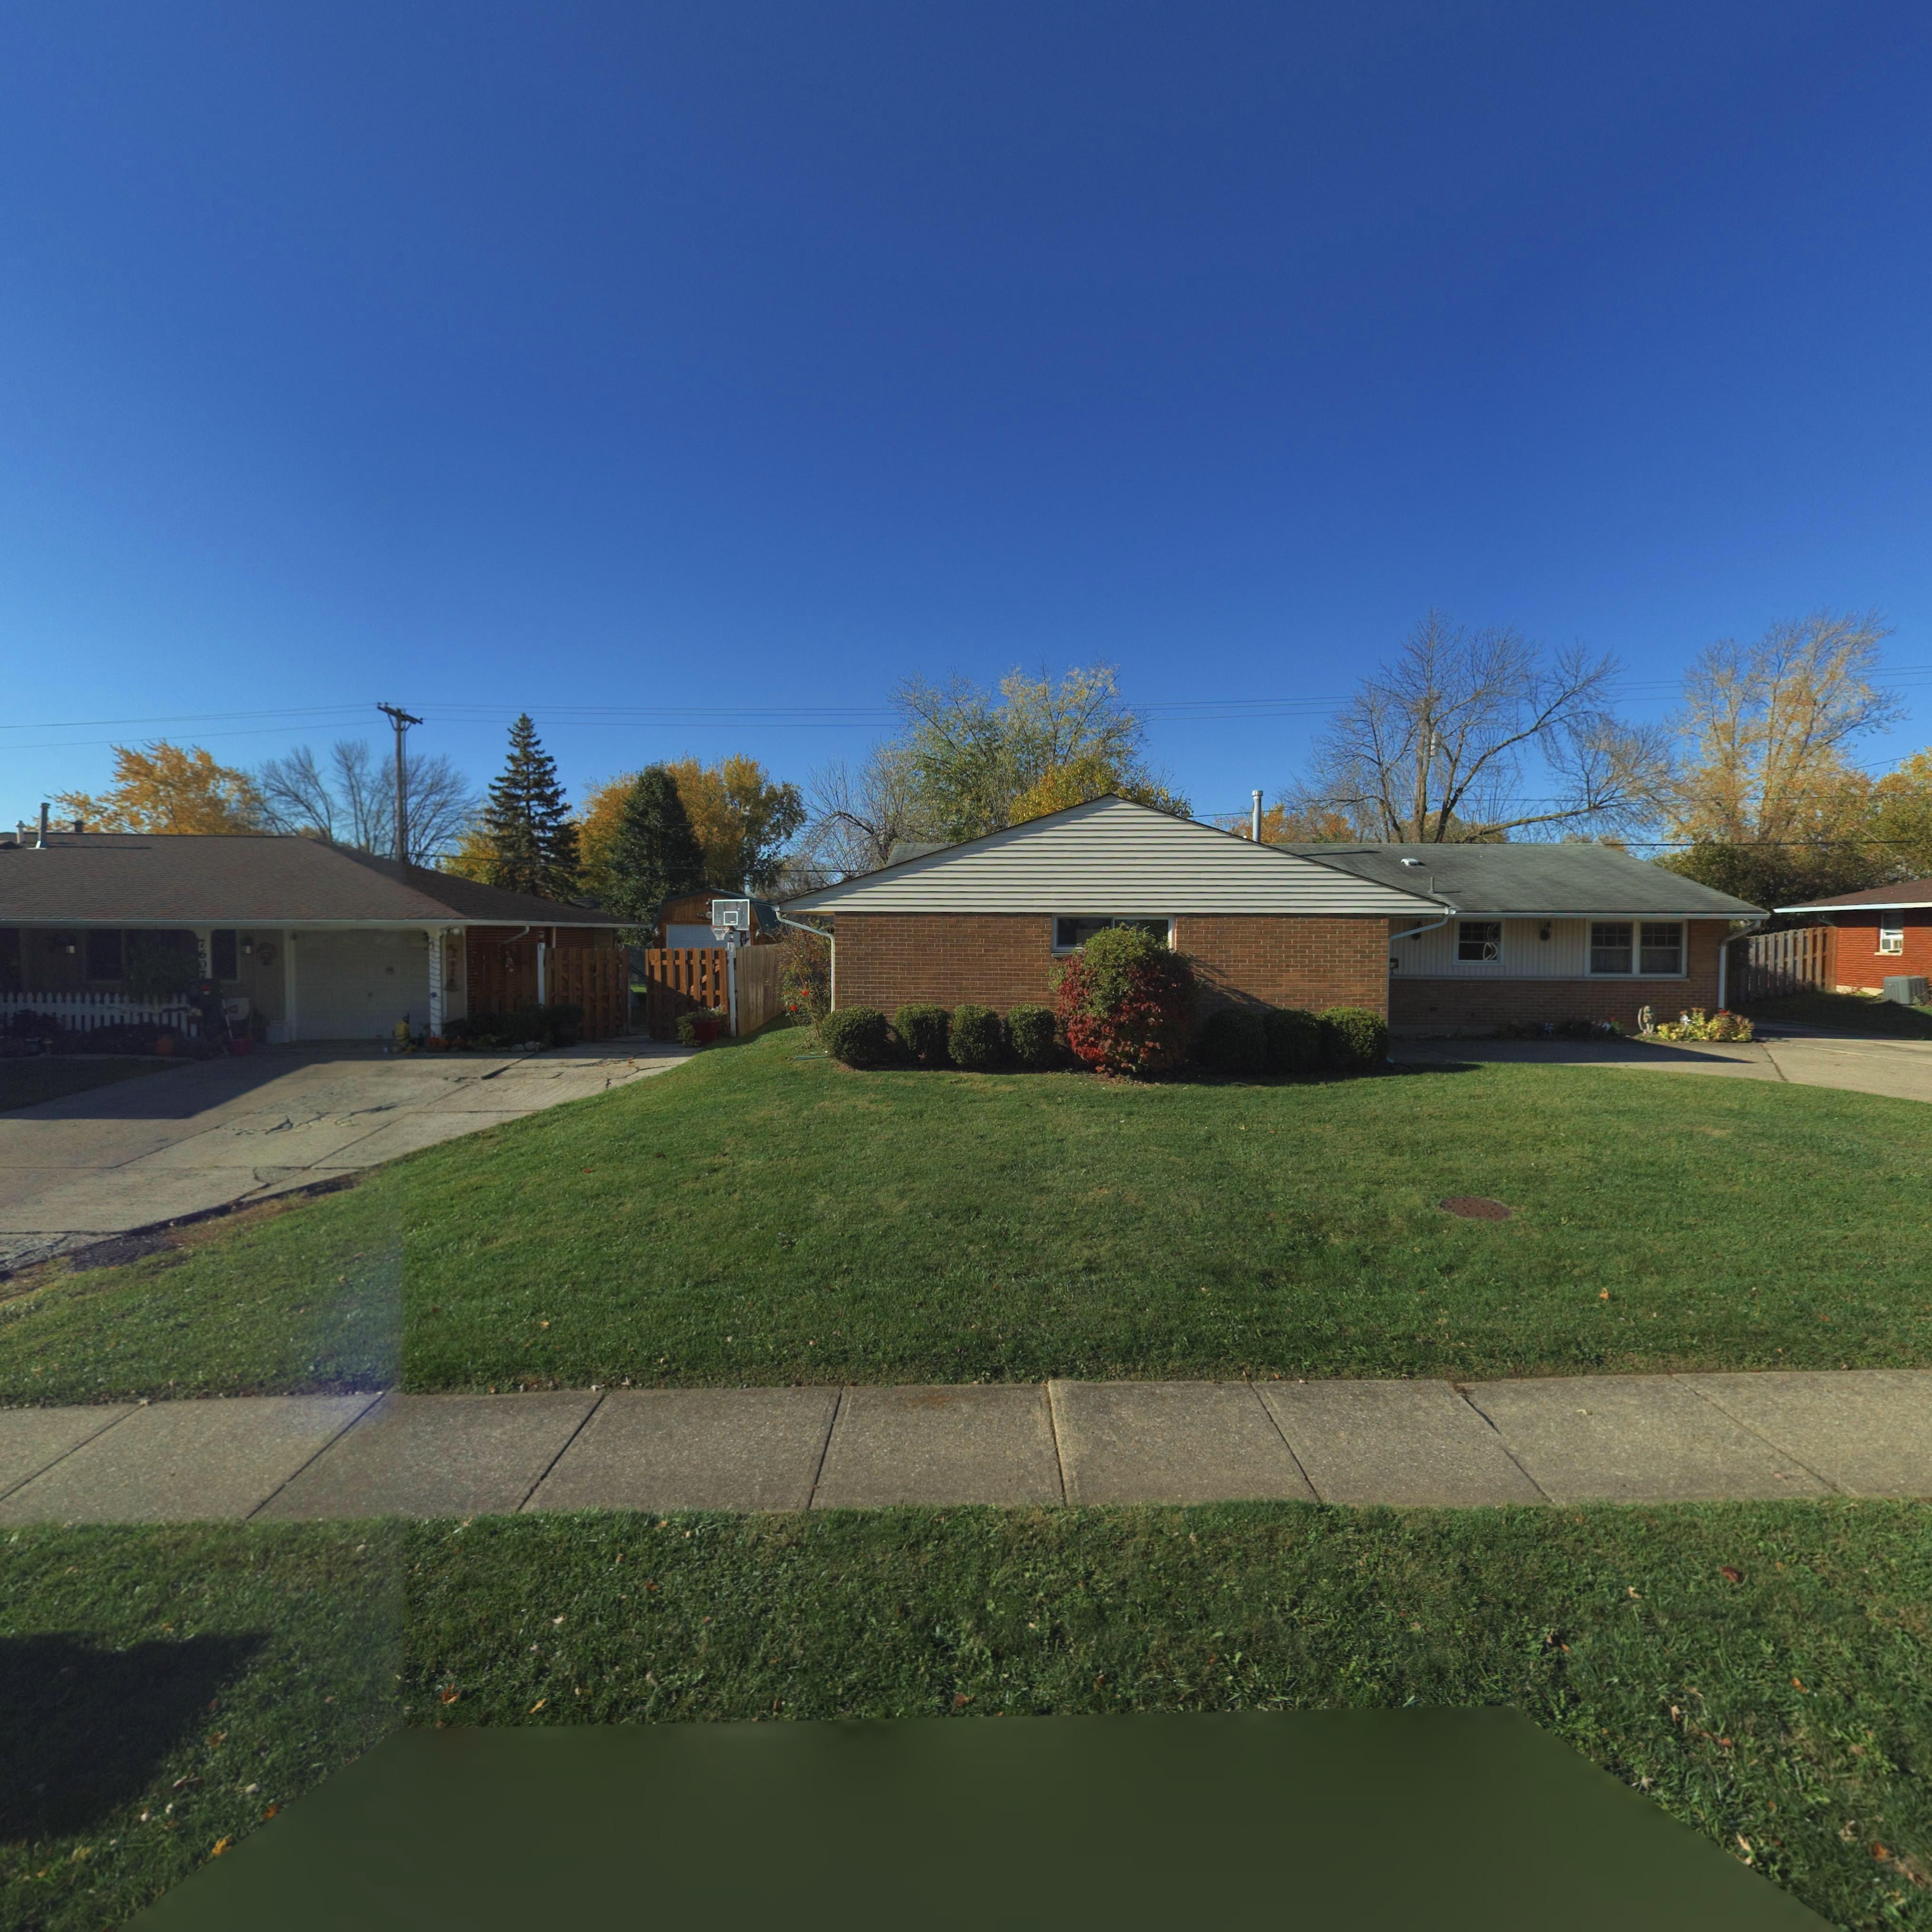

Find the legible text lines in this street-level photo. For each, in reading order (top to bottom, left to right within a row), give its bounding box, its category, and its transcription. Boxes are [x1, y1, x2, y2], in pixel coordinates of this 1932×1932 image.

[197, 938, 207, 979] StreetNumber: 7607
[1391, 962, 1396, 967] StreetNumber: 2